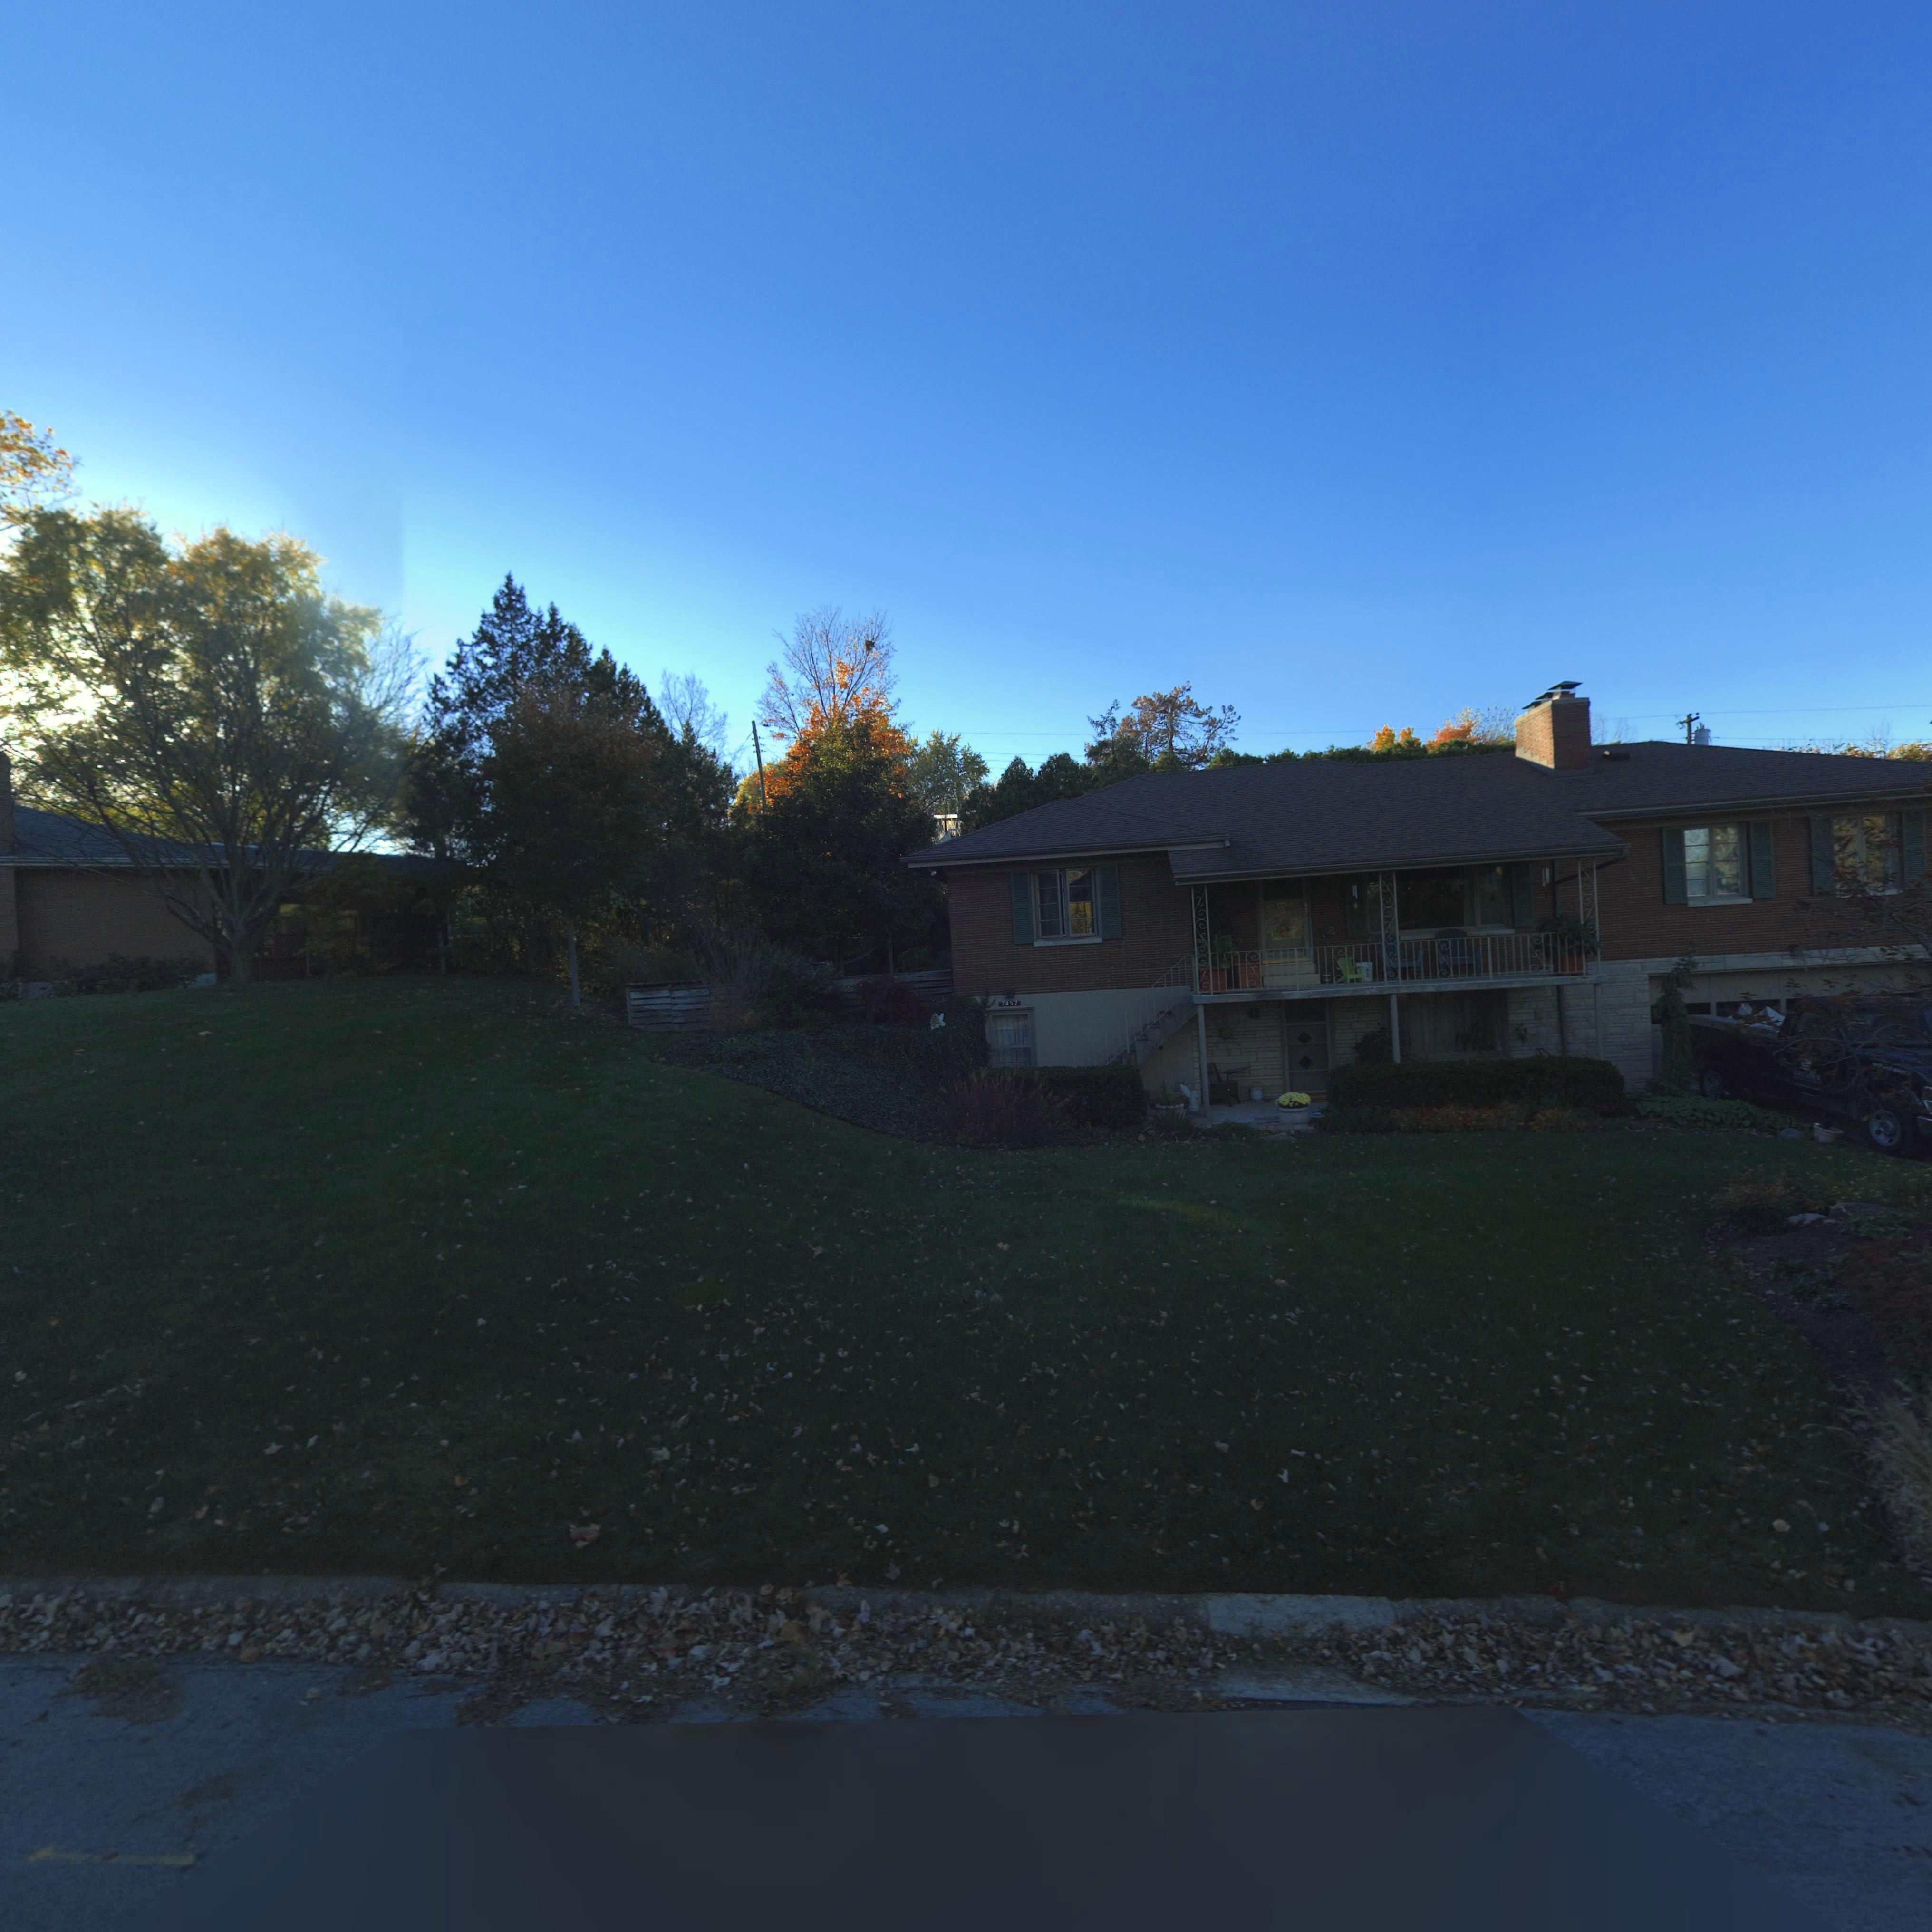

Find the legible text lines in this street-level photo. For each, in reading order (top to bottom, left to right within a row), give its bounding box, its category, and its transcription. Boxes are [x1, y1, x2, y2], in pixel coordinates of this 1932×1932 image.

[1000, 999, 1019, 1007] StreetNumber: 7457